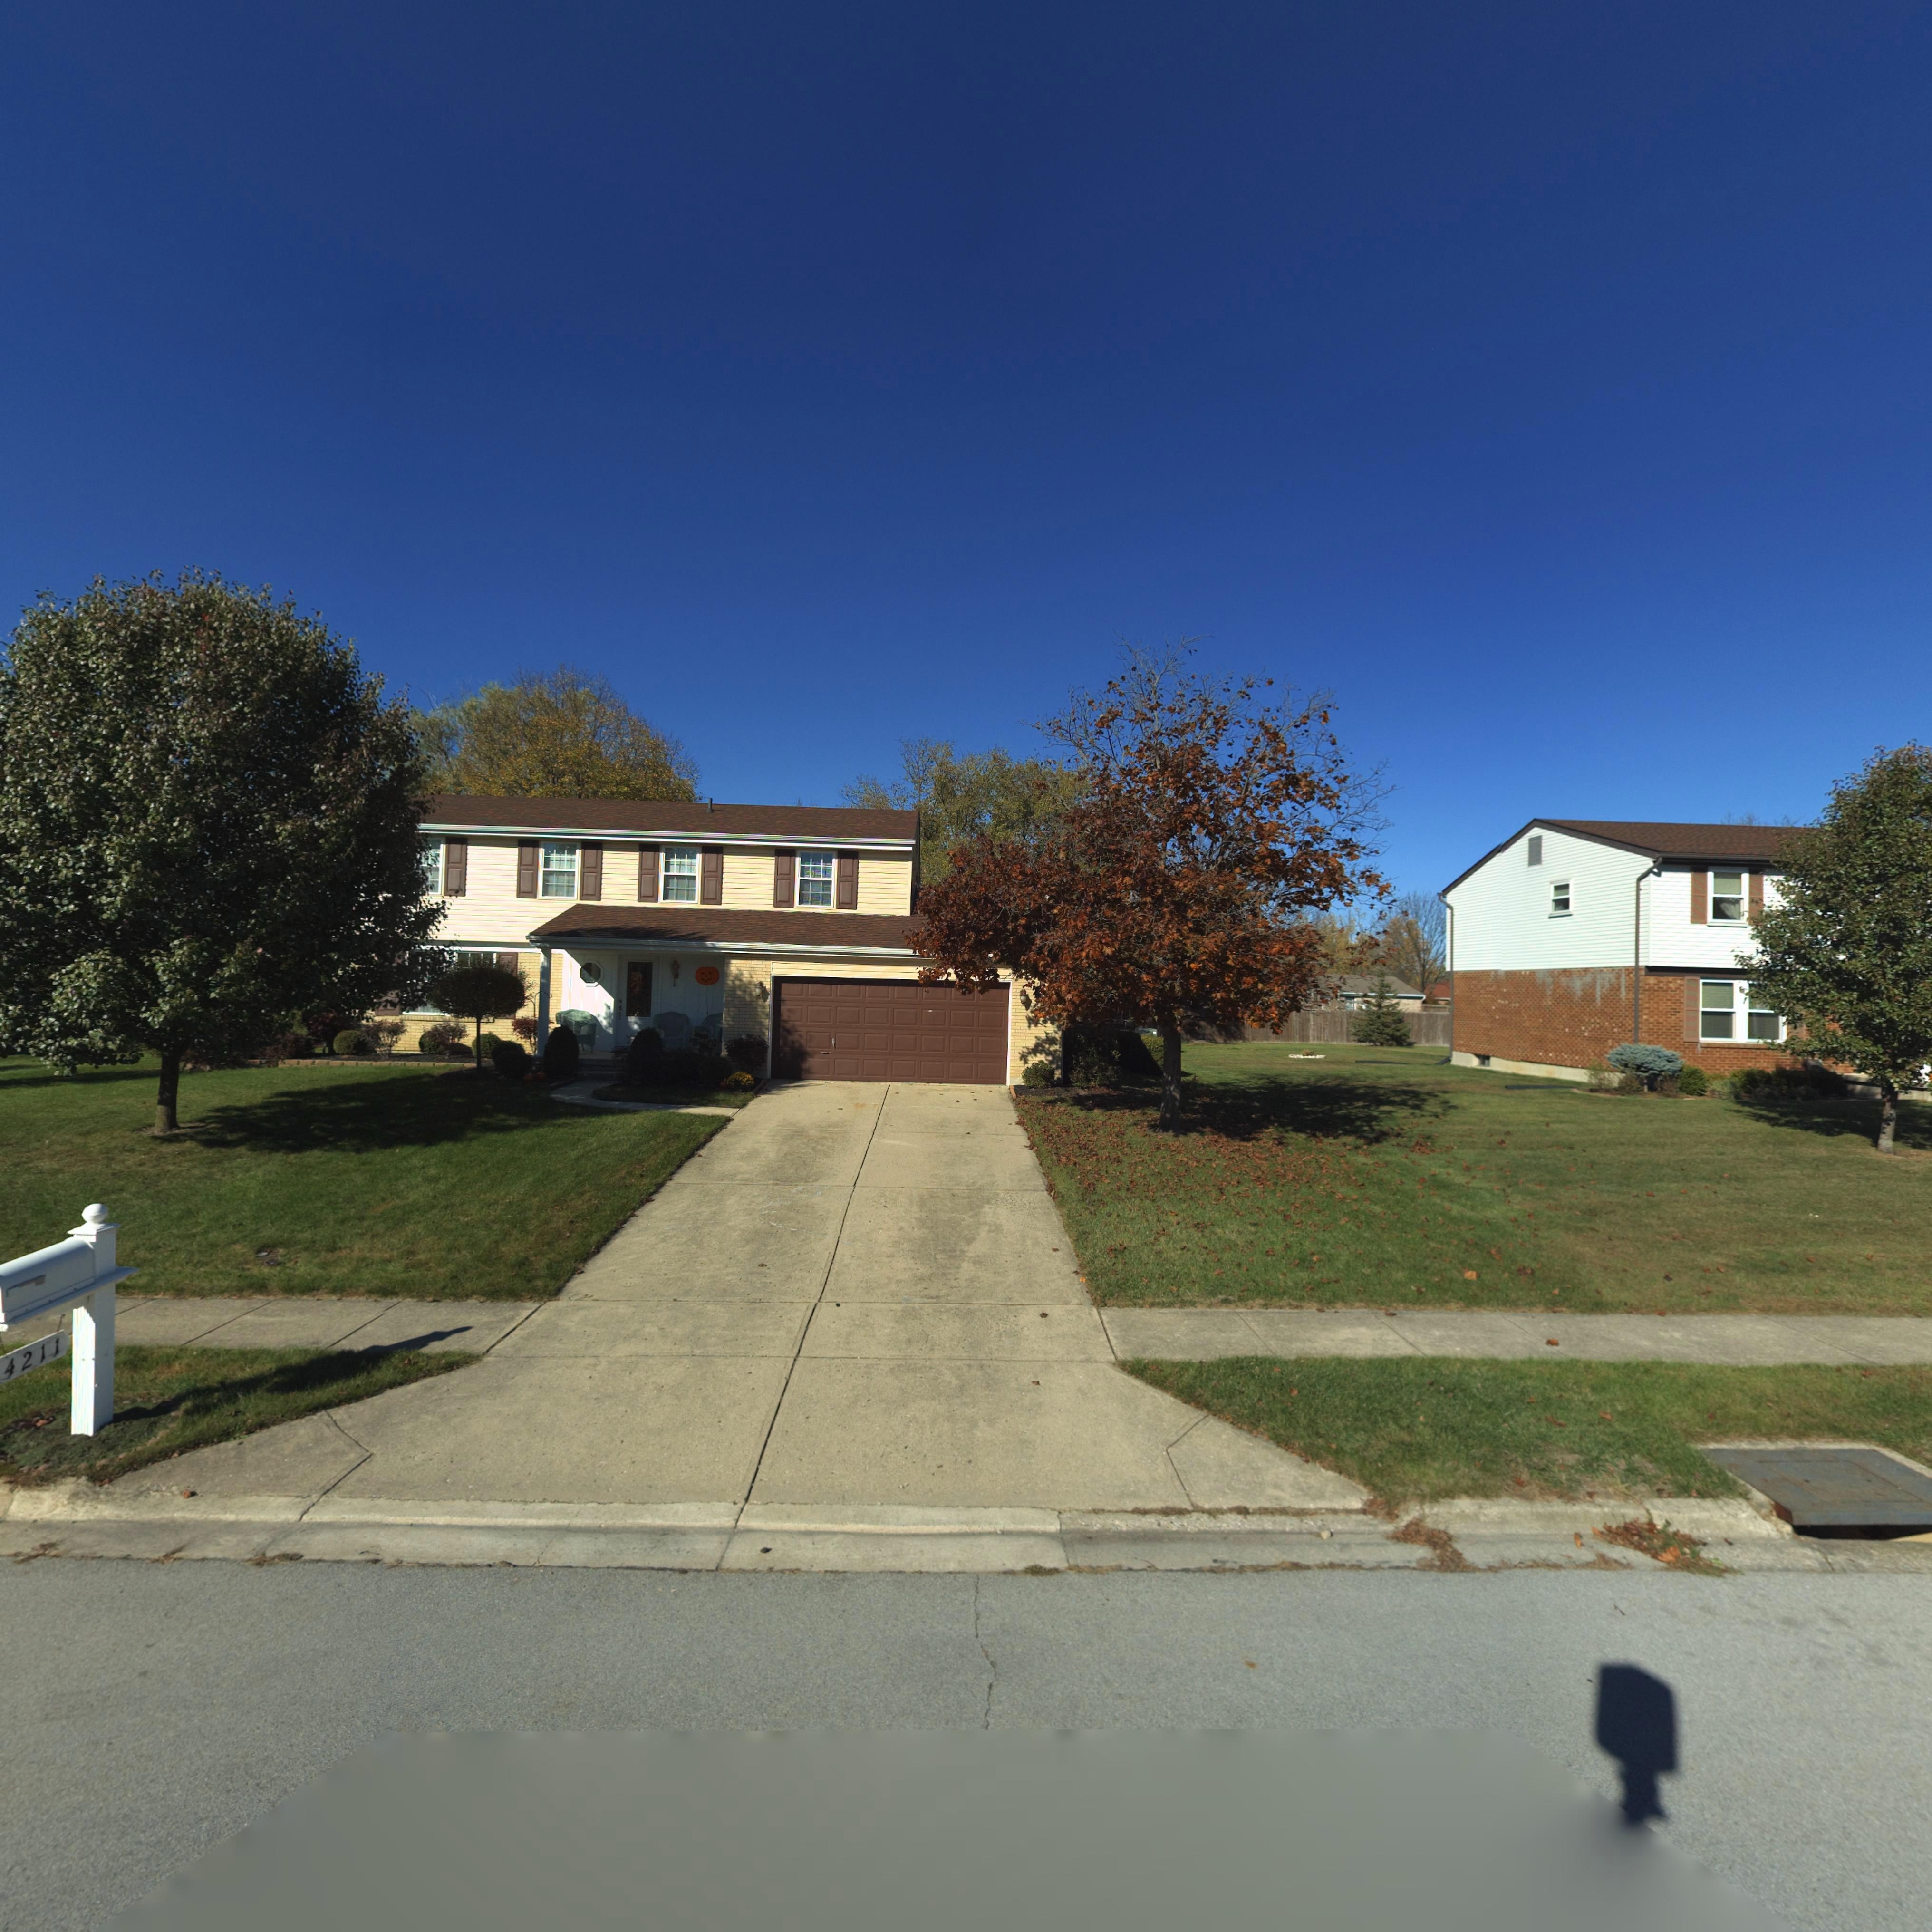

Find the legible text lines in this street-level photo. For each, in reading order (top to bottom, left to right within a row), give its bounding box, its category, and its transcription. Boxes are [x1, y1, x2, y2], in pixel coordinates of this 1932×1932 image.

[2, 1334, 62, 1379] StreetNumber: 4211